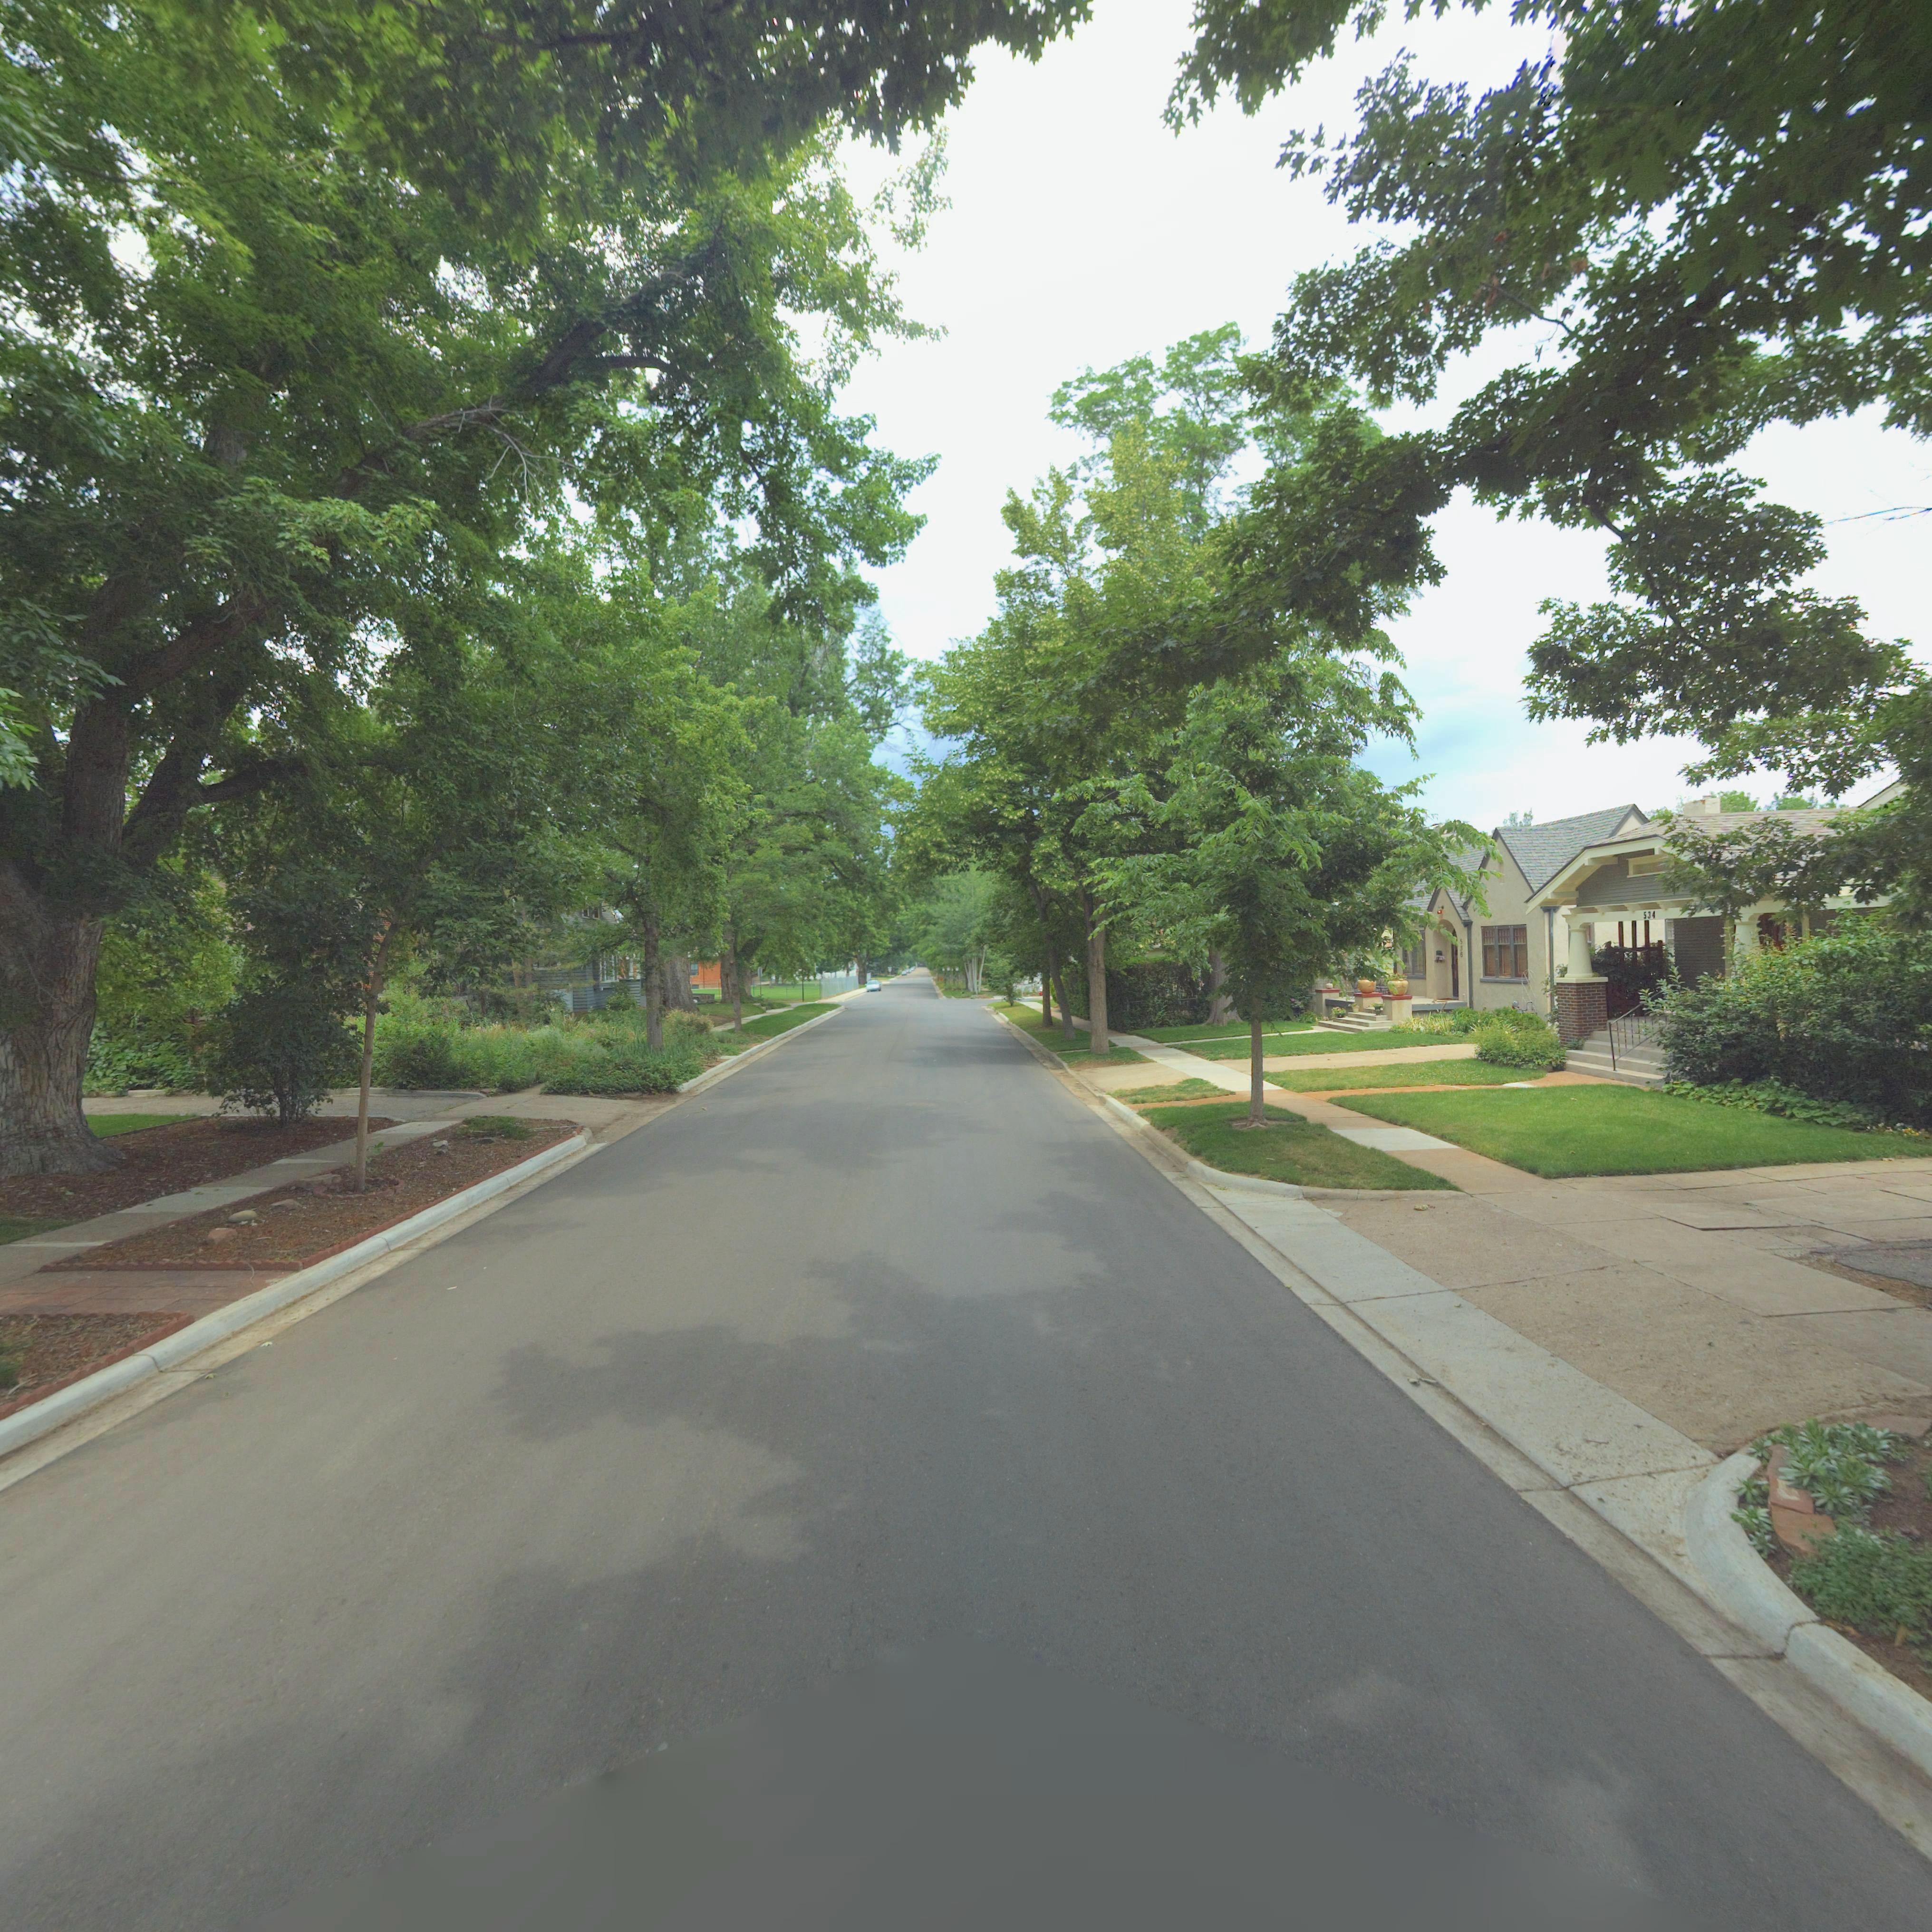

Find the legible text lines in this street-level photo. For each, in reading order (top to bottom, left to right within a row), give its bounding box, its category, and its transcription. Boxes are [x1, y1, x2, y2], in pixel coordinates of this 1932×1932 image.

[1642, 910, 1655, 919] StreetNumber: 534
[1459, 938, 1463, 957] StreetNumber: 536